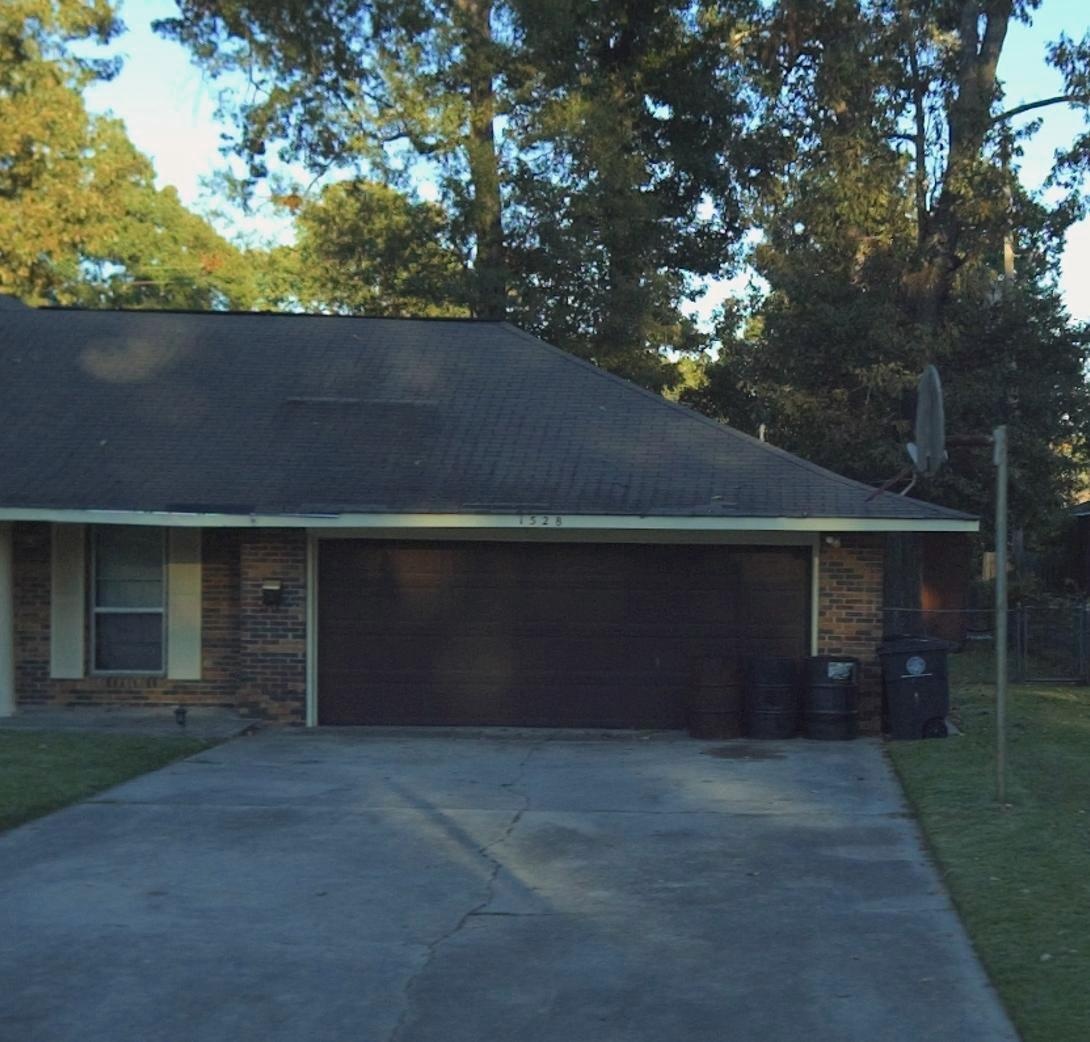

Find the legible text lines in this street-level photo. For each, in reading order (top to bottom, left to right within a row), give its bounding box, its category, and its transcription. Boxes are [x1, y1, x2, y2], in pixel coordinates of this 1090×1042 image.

[518, 514, 564, 527] StreetNumber: 1528